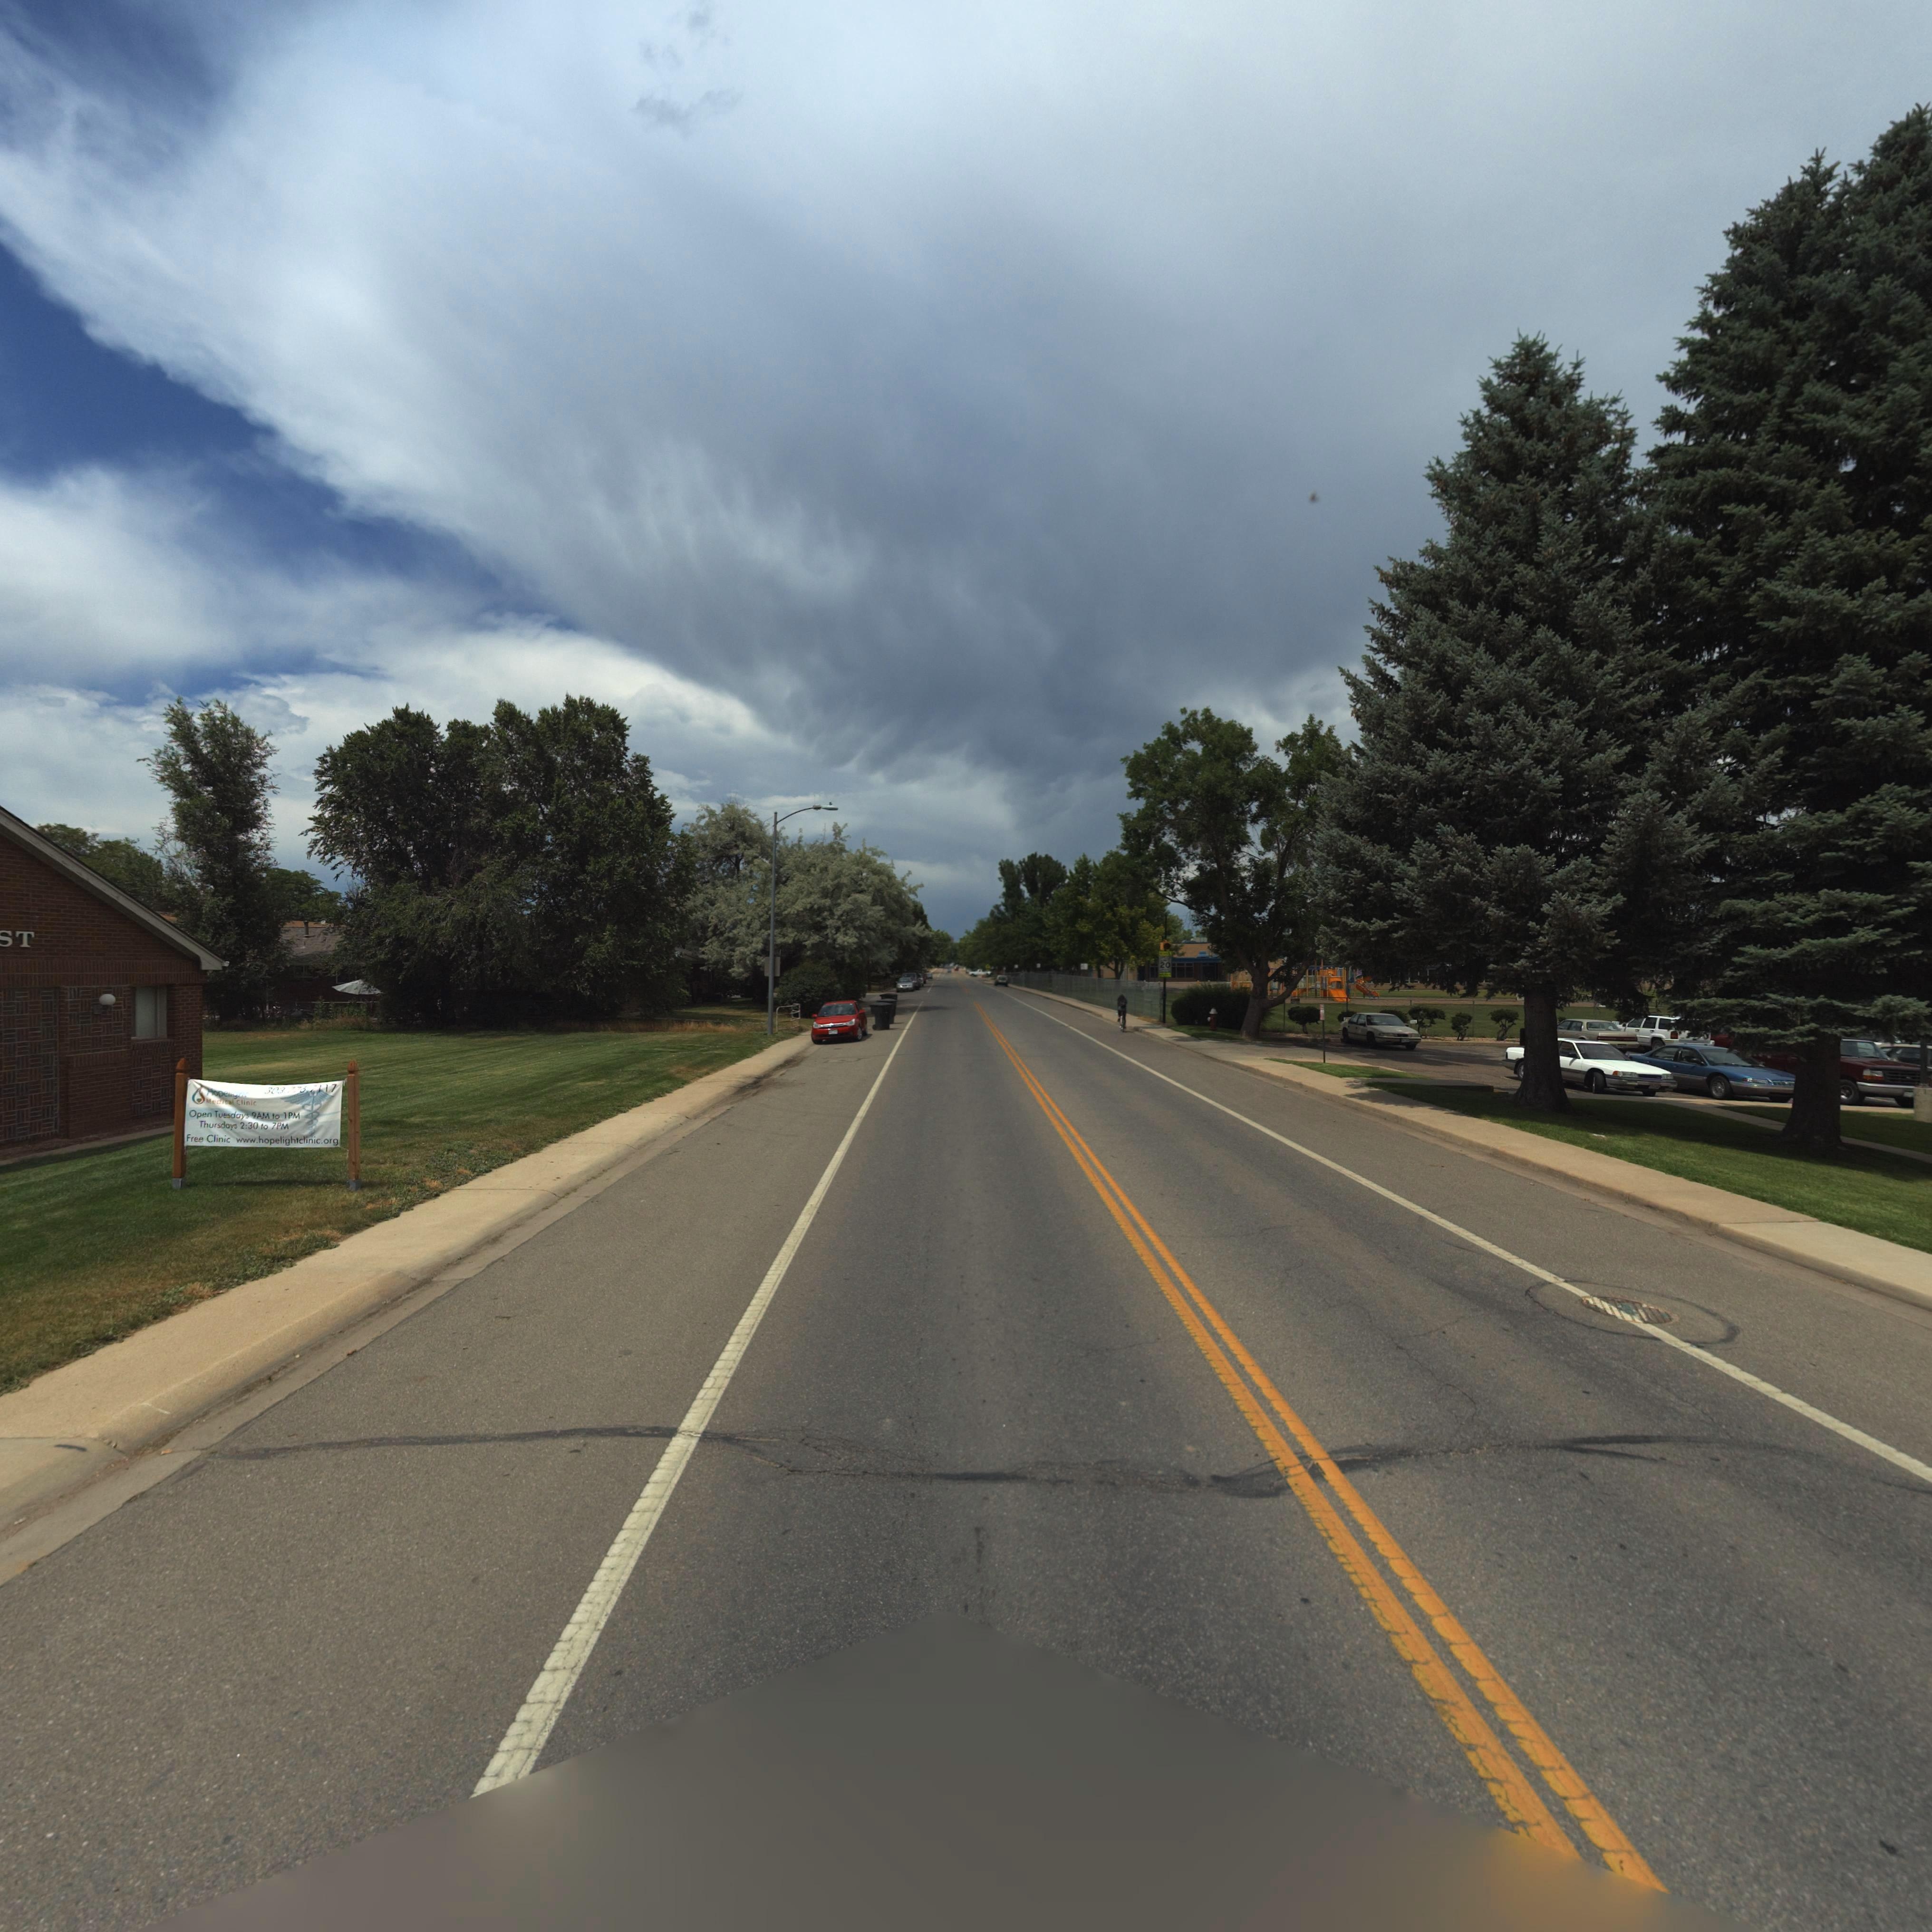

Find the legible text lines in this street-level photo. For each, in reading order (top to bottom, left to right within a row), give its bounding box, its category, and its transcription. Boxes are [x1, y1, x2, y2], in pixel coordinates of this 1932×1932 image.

[15, 930, 35, 947] BusinessName: T